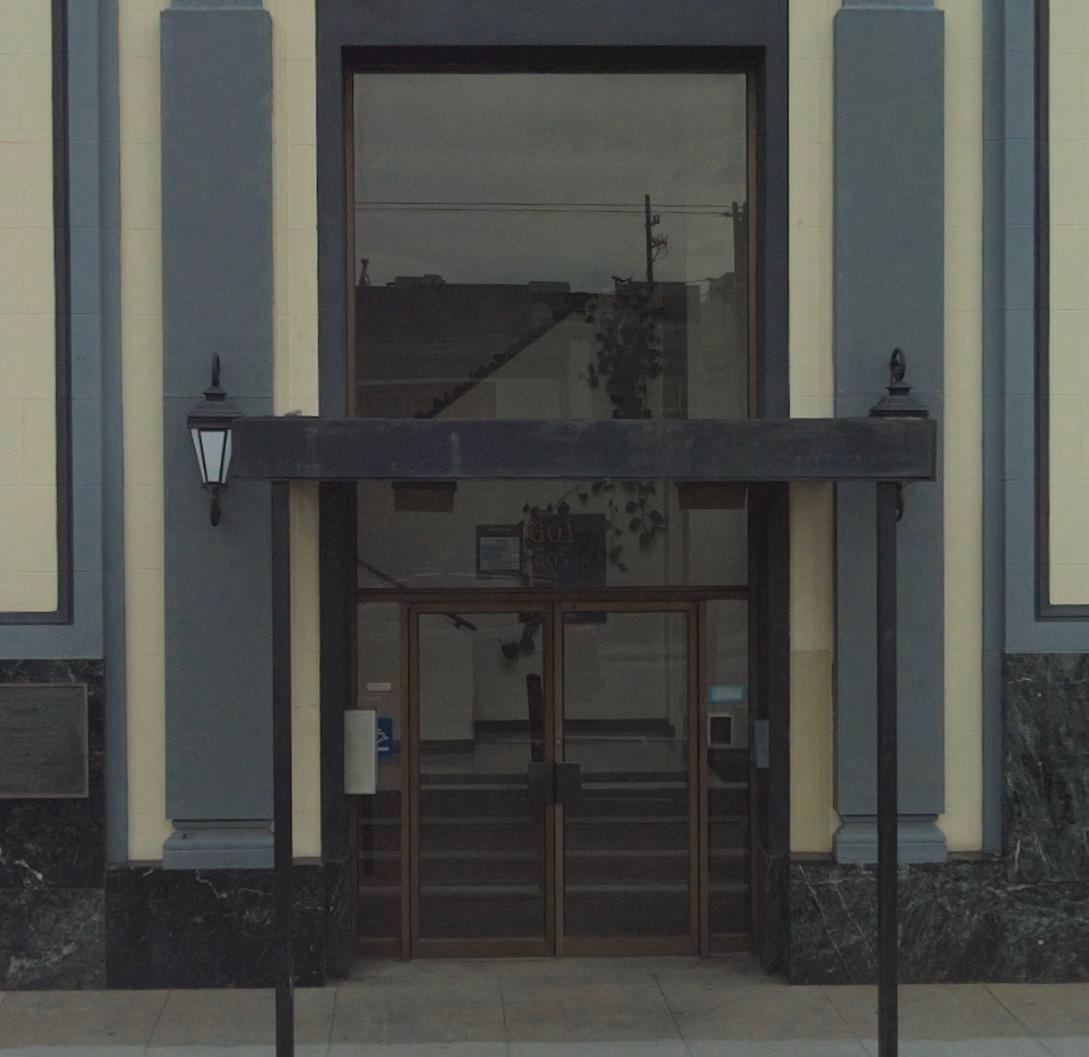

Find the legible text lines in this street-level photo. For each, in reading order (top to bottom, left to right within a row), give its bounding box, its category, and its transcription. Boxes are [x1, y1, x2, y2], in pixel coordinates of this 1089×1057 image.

[528, 519, 578, 545] StreetNumber: 601
[533, 549, 569, 569] StreetNumber: 60*